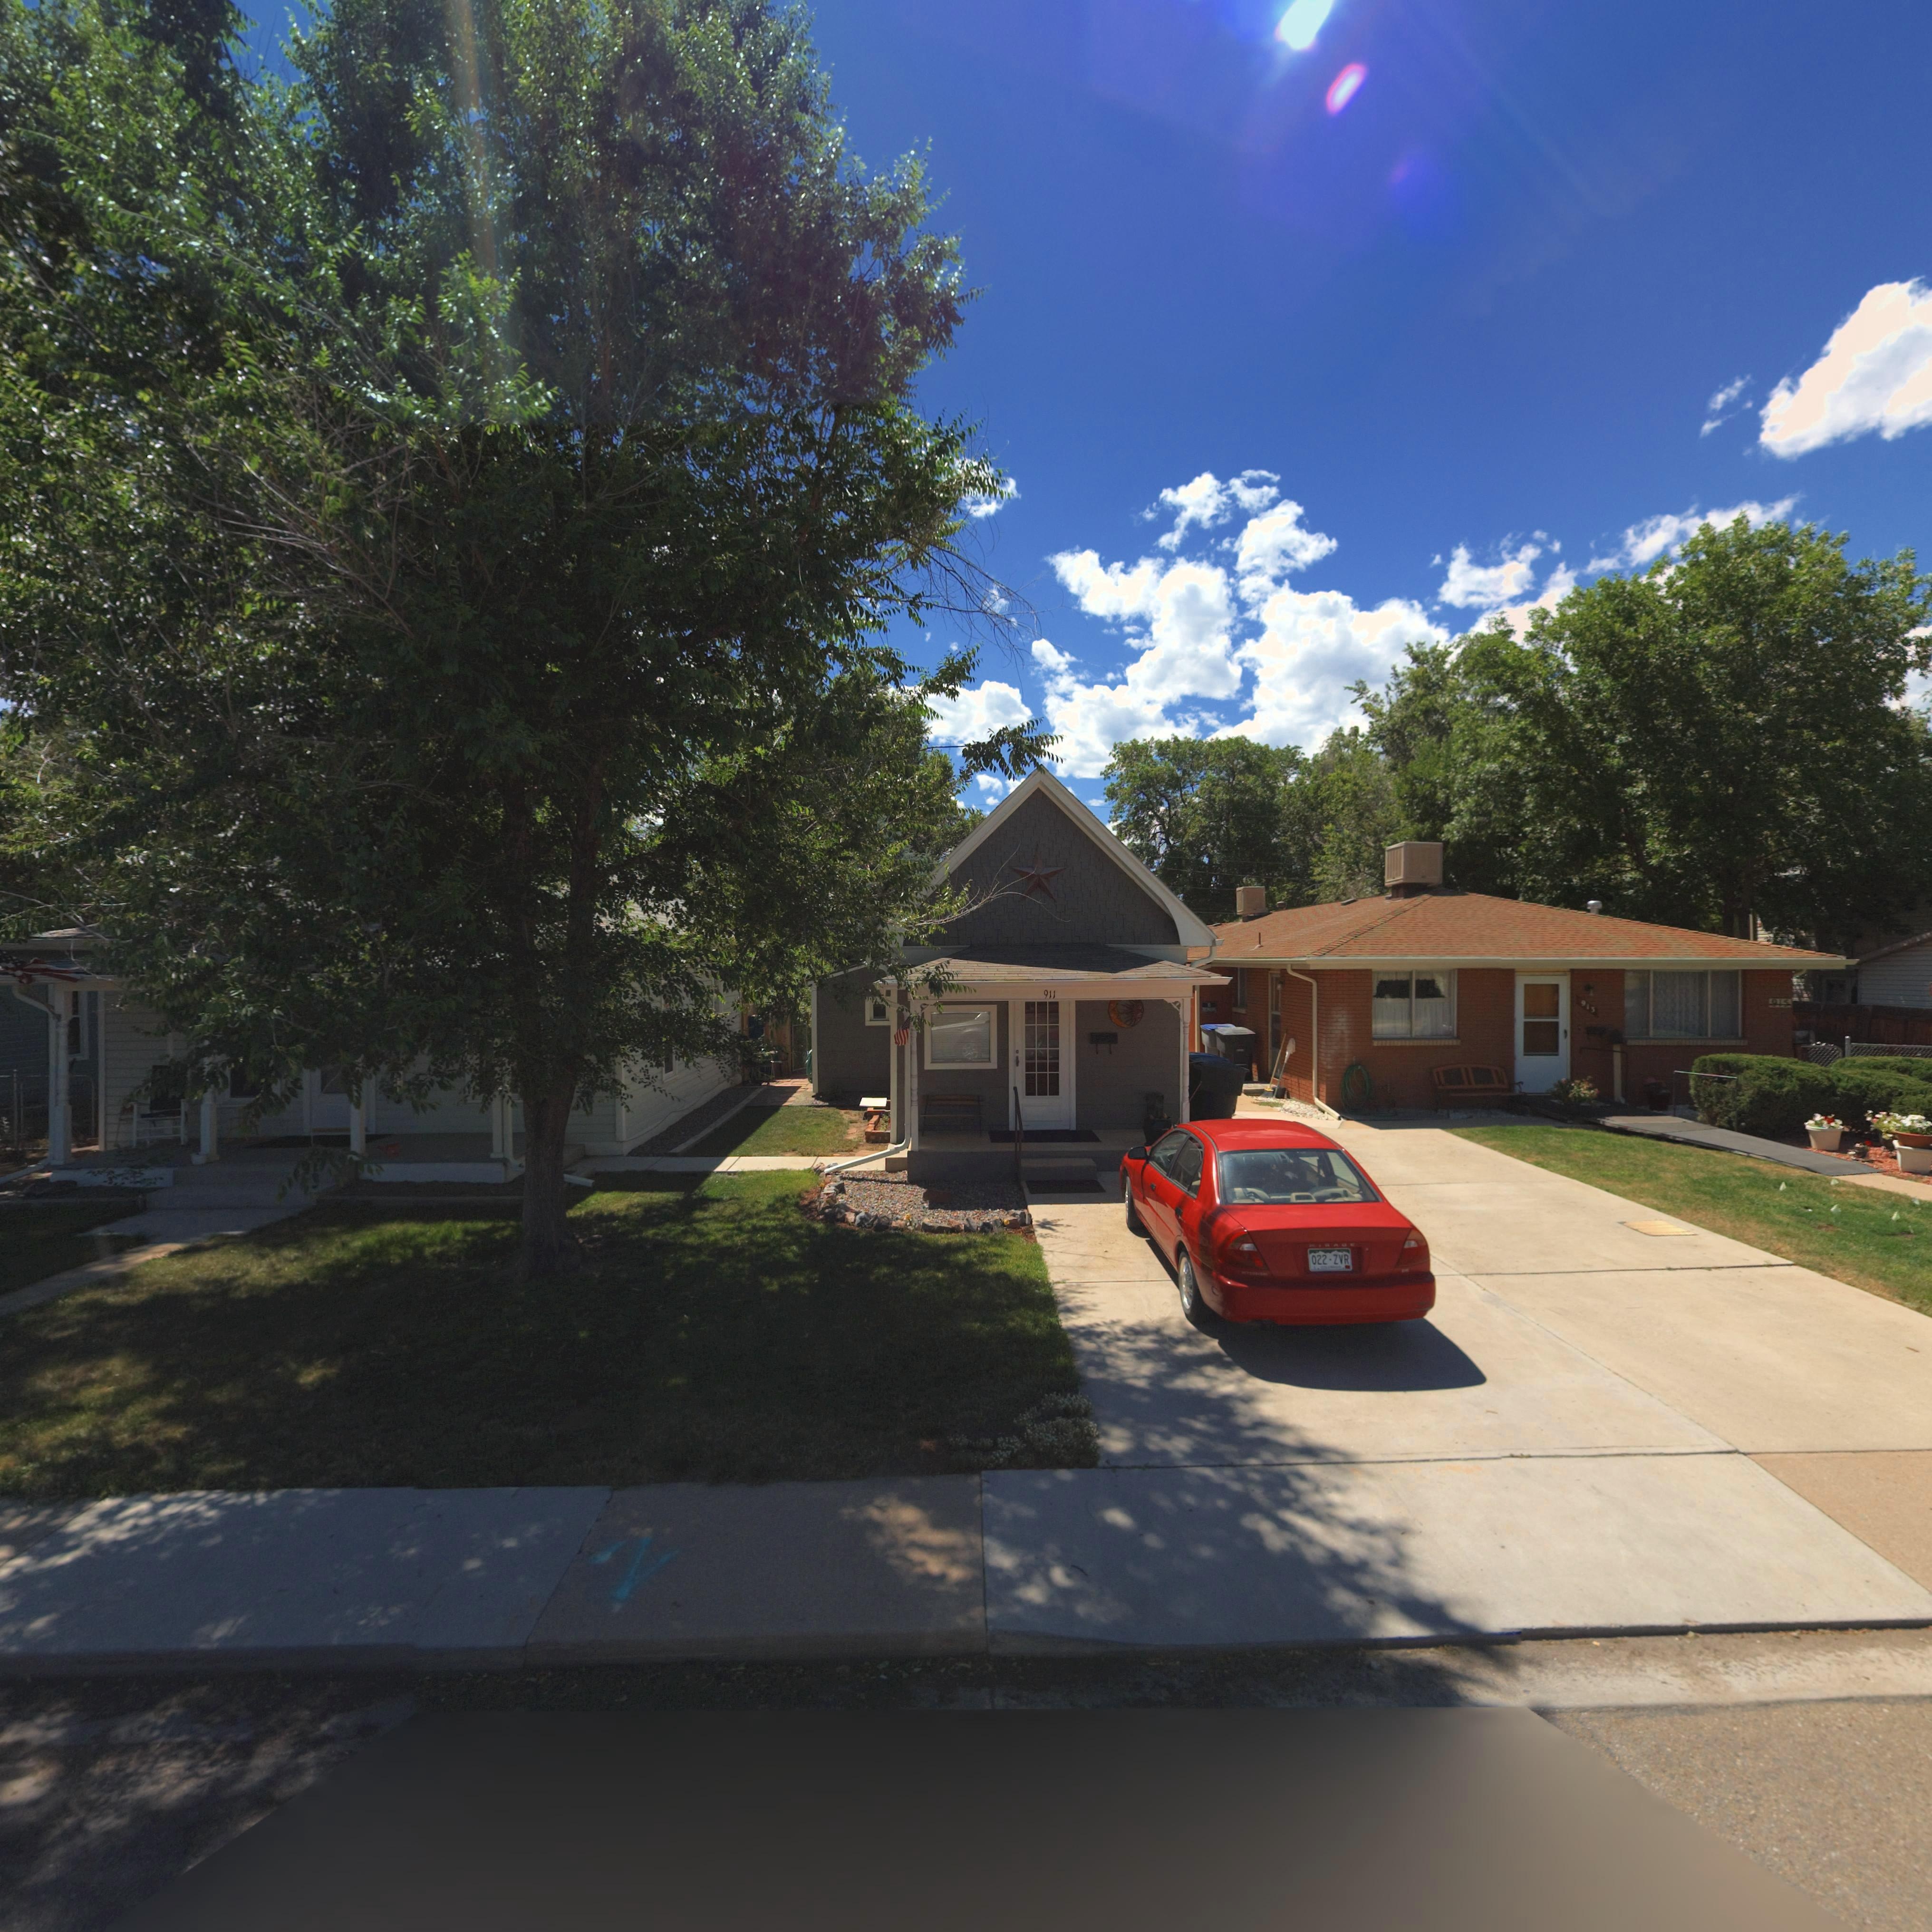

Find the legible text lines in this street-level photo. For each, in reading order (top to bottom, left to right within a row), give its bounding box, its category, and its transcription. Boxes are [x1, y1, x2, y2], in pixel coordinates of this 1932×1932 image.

[1043, 989, 1056, 999] StreetNumber: 911
[1580, 999, 1595, 1014] StreetNumber: 913
[1771, 999, 1790, 1007] StreetNumber: 915